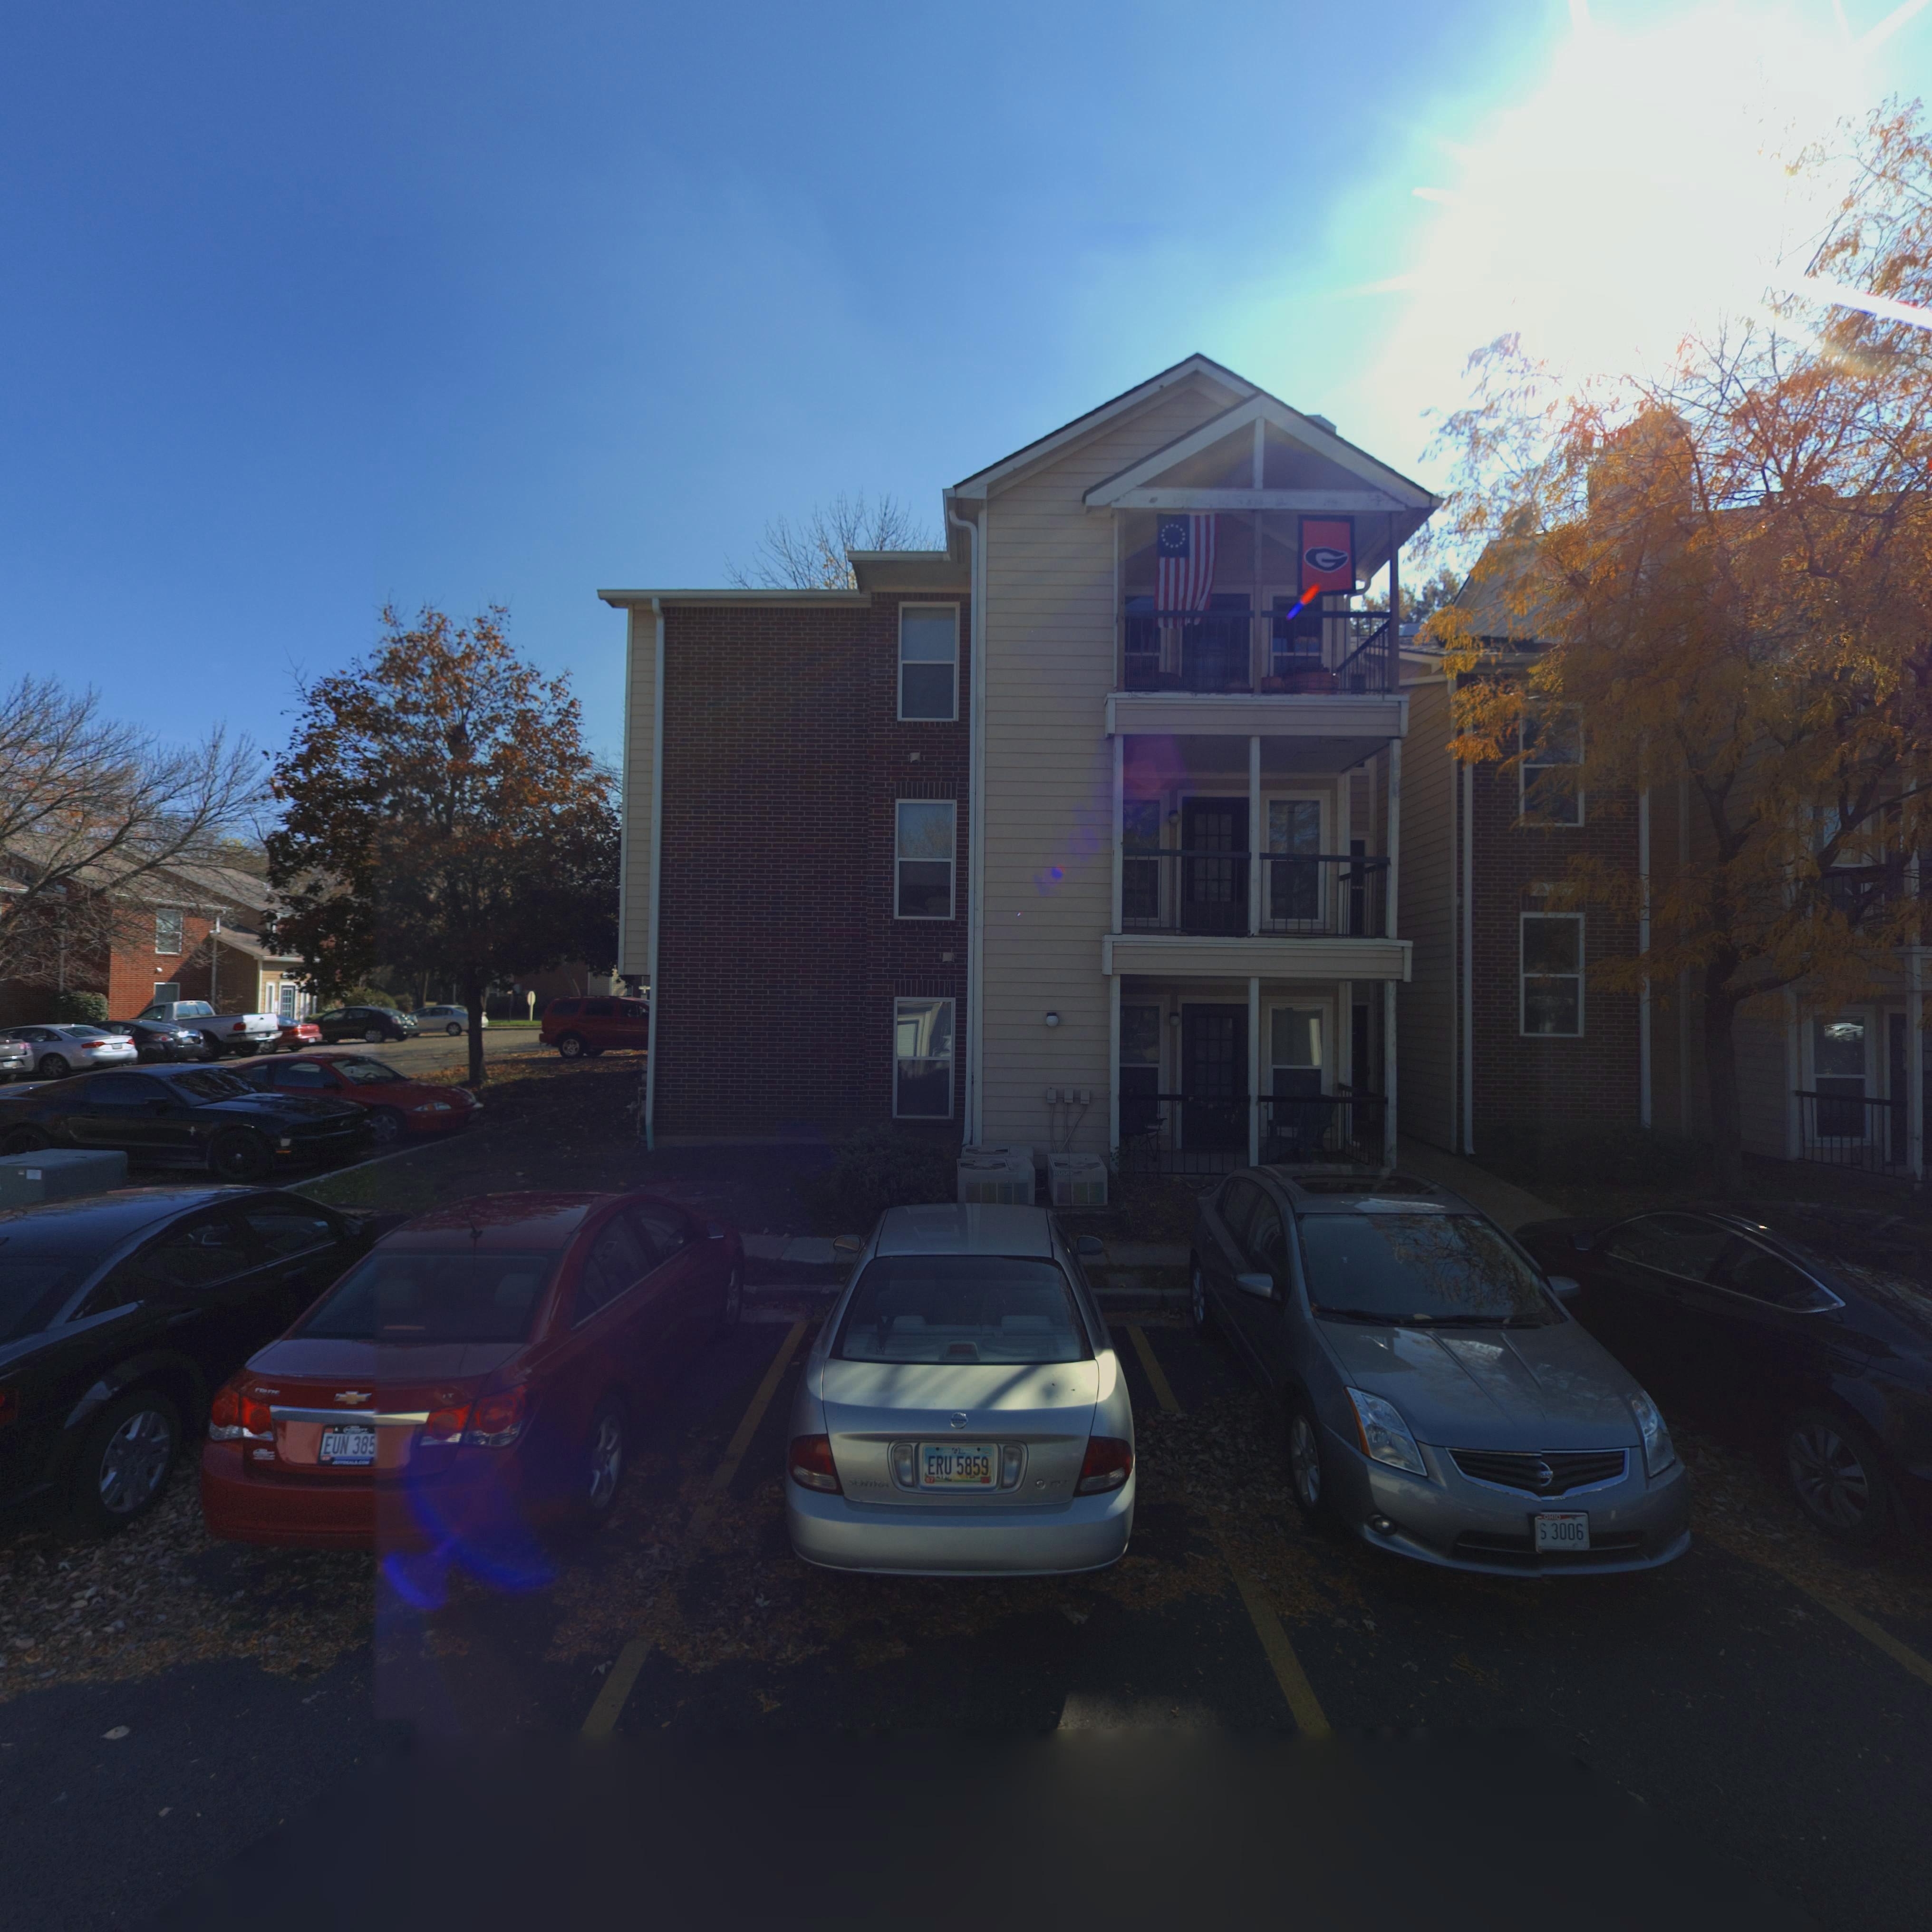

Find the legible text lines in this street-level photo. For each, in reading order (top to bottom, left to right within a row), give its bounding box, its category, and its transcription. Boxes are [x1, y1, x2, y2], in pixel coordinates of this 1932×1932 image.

[1301, 545, 1351, 575] None: G
[320, 1433, 378, 1457] None: EUN 385
[926, 1453, 991, 1478] None: ERU 5859
[1543, 1512, 1563, 1521] None: OHIO
[1549, 1520, 1585, 1542] None: 3006